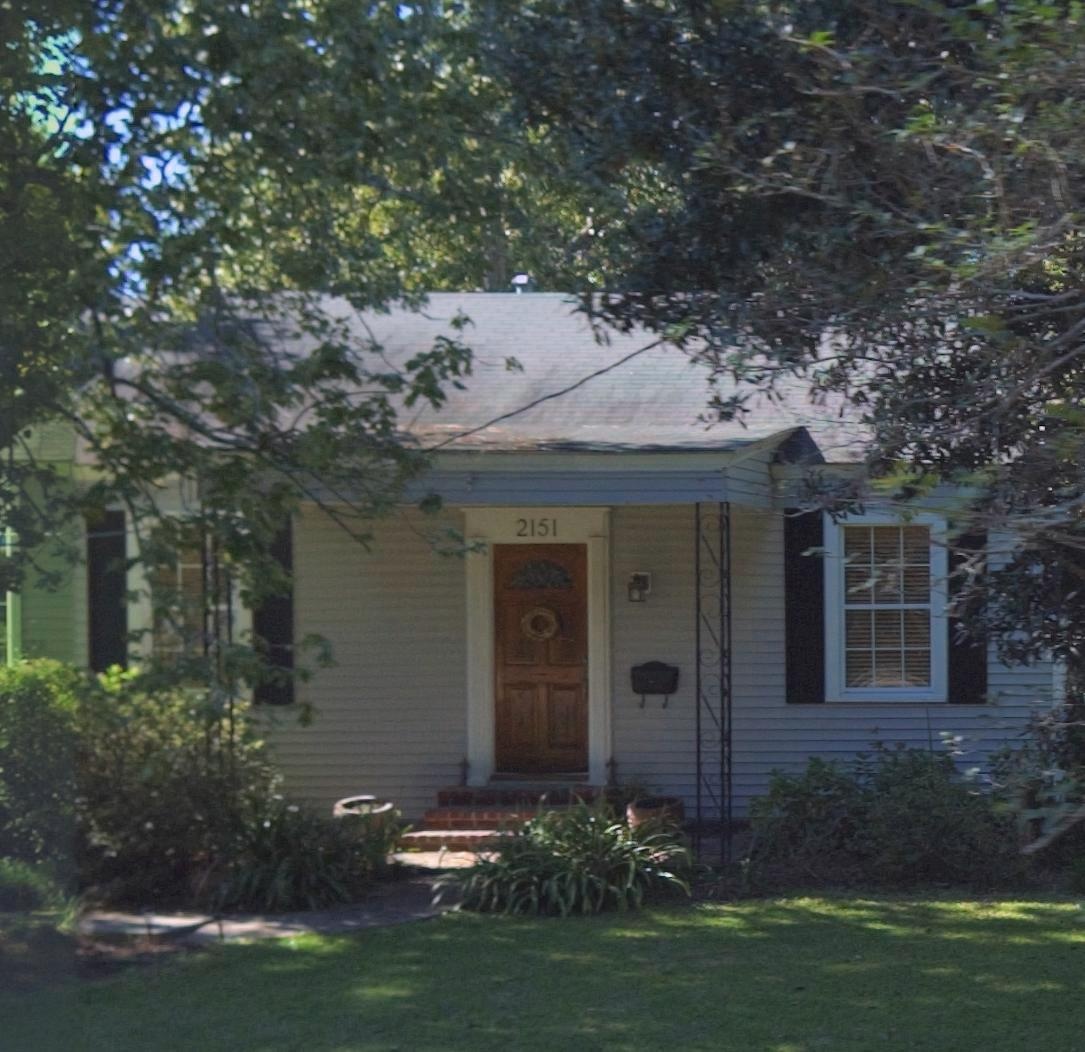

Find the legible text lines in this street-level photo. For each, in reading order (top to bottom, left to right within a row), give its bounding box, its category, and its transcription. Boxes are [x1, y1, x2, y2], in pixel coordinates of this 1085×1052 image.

[514, 516, 560, 539] StreetNumber: 2151